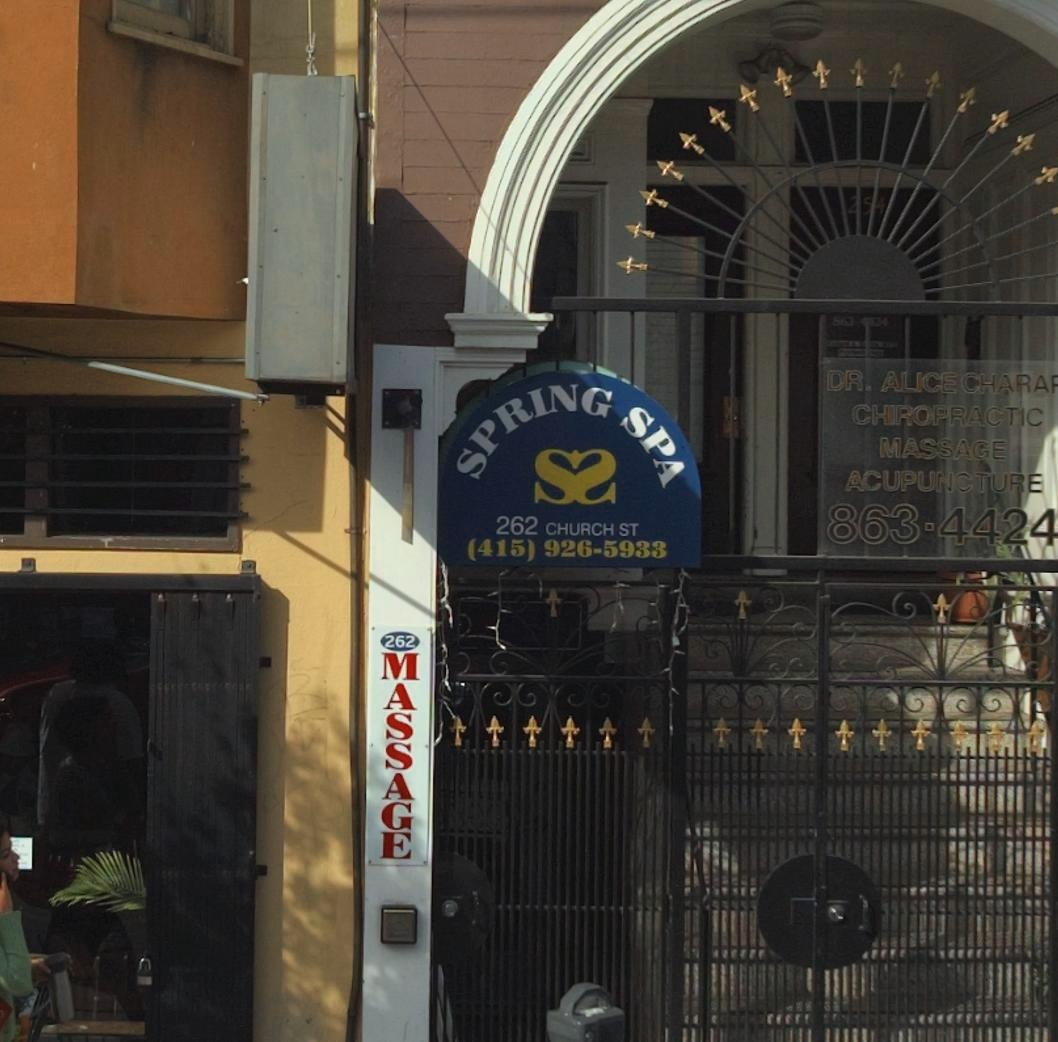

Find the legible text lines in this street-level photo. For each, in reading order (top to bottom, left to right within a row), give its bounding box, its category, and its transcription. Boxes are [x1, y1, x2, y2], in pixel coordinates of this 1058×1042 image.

[823, 367, 1053, 396] None: DR. ALICE CHARA
[849, 400, 1047, 430] None: CHIROPRACTIC
[450, 380, 690, 492] BusinessName: SPRING SPA
[877, 433, 1010, 463] None: MASSAGE
[841, 466, 1046, 497] None: ACUPUNCTURE
[494, 513, 540, 537] StreetNumber: 262
[541, 518, 643, 540] StreetName: CHURCH ST
[823, 499, 1058, 550] None: 863-4424
[474, 534, 671, 562] None: 415) 926-5933
[382, 632, 420, 651] None: 262
[375, 647, 424, 863] None: MASSAGE